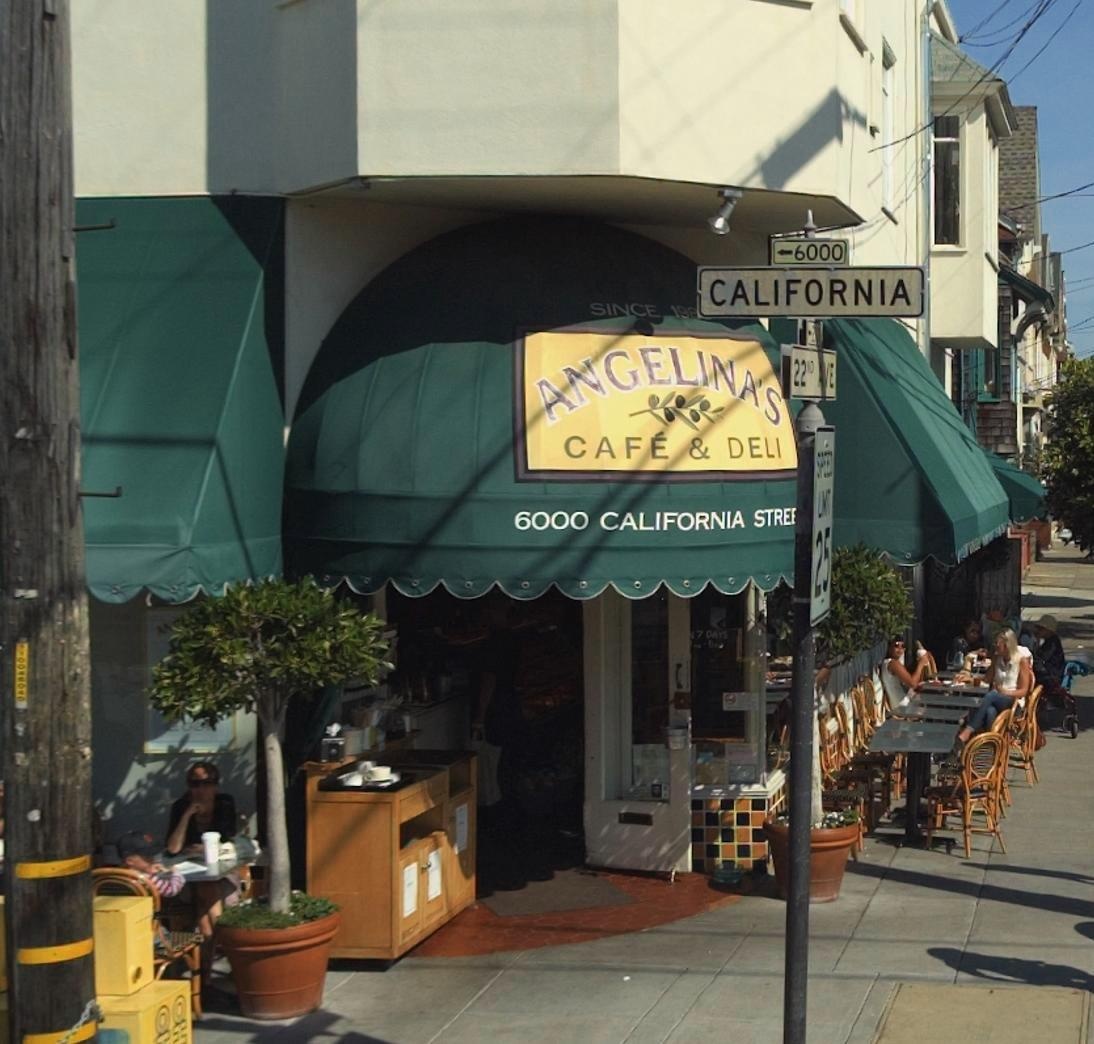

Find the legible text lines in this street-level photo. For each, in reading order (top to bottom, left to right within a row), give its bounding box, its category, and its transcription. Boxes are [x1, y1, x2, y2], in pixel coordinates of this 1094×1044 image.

[776, 242, 843, 262] StreetNumberRange: <-6000
[709, 276, 913, 308] StreetName: CALIFORNIA
[588, 300, 693, 320] None: SINCE 19
[792, 356, 836, 390] StreetNumber: 22ND AVE
[533, 344, 783, 429] BusinessName: ANGELINA'S
[564, 434, 782, 460] BusinessName: CAFE & DELI
[513, 508, 591, 533] StreetNumber: 6000
[598, 508, 748, 532] StreetName: CALIFORNIA\
[752, 506, 798, 529] None: STRE*
[813, 525, 832, 602] None: 25